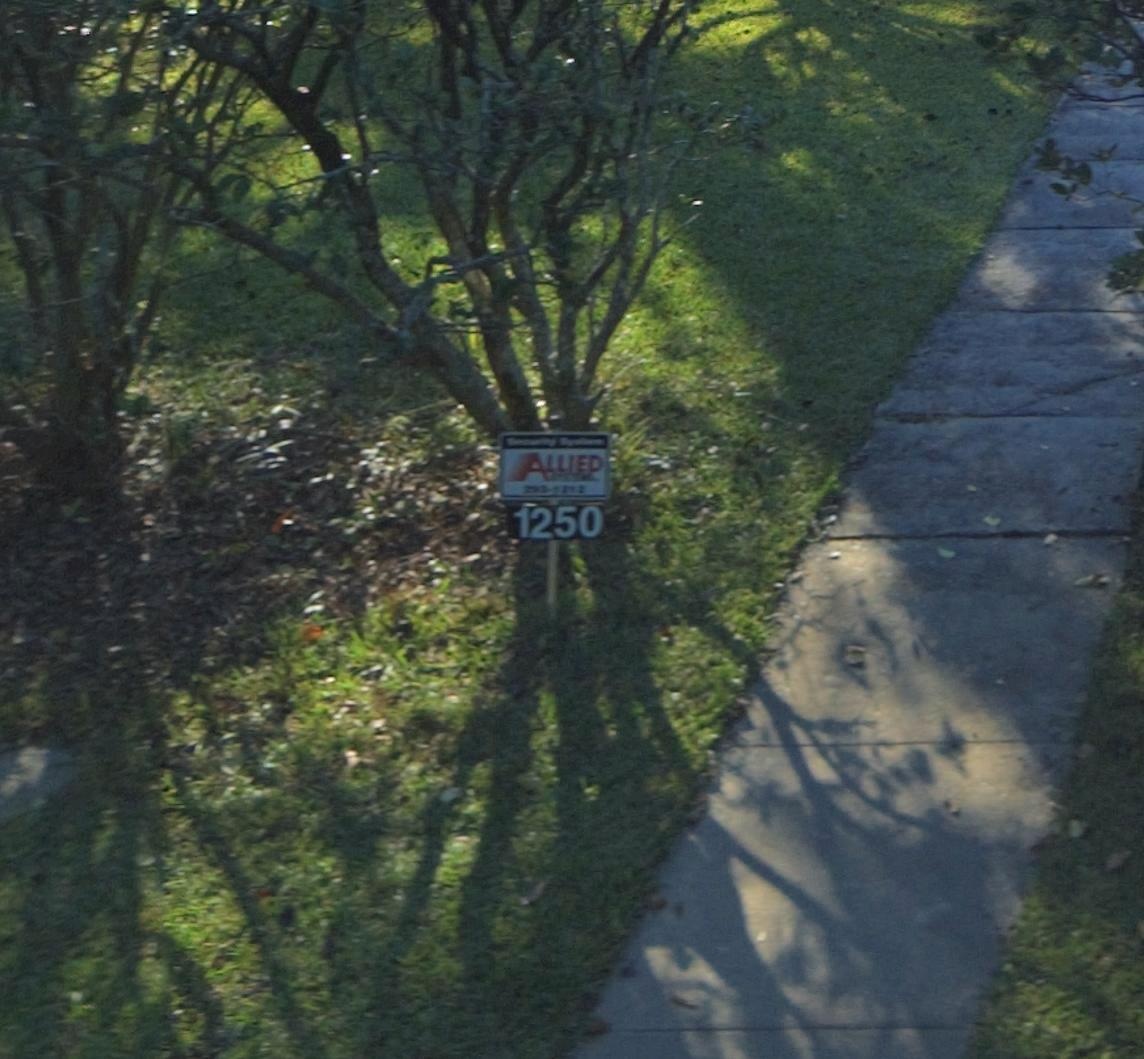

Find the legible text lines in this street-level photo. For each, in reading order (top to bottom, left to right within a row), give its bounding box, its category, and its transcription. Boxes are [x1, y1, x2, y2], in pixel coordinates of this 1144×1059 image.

[517, 450, 605, 484] None: ALLIED
[512, 505, 604, 540] StreetNumber: 1250